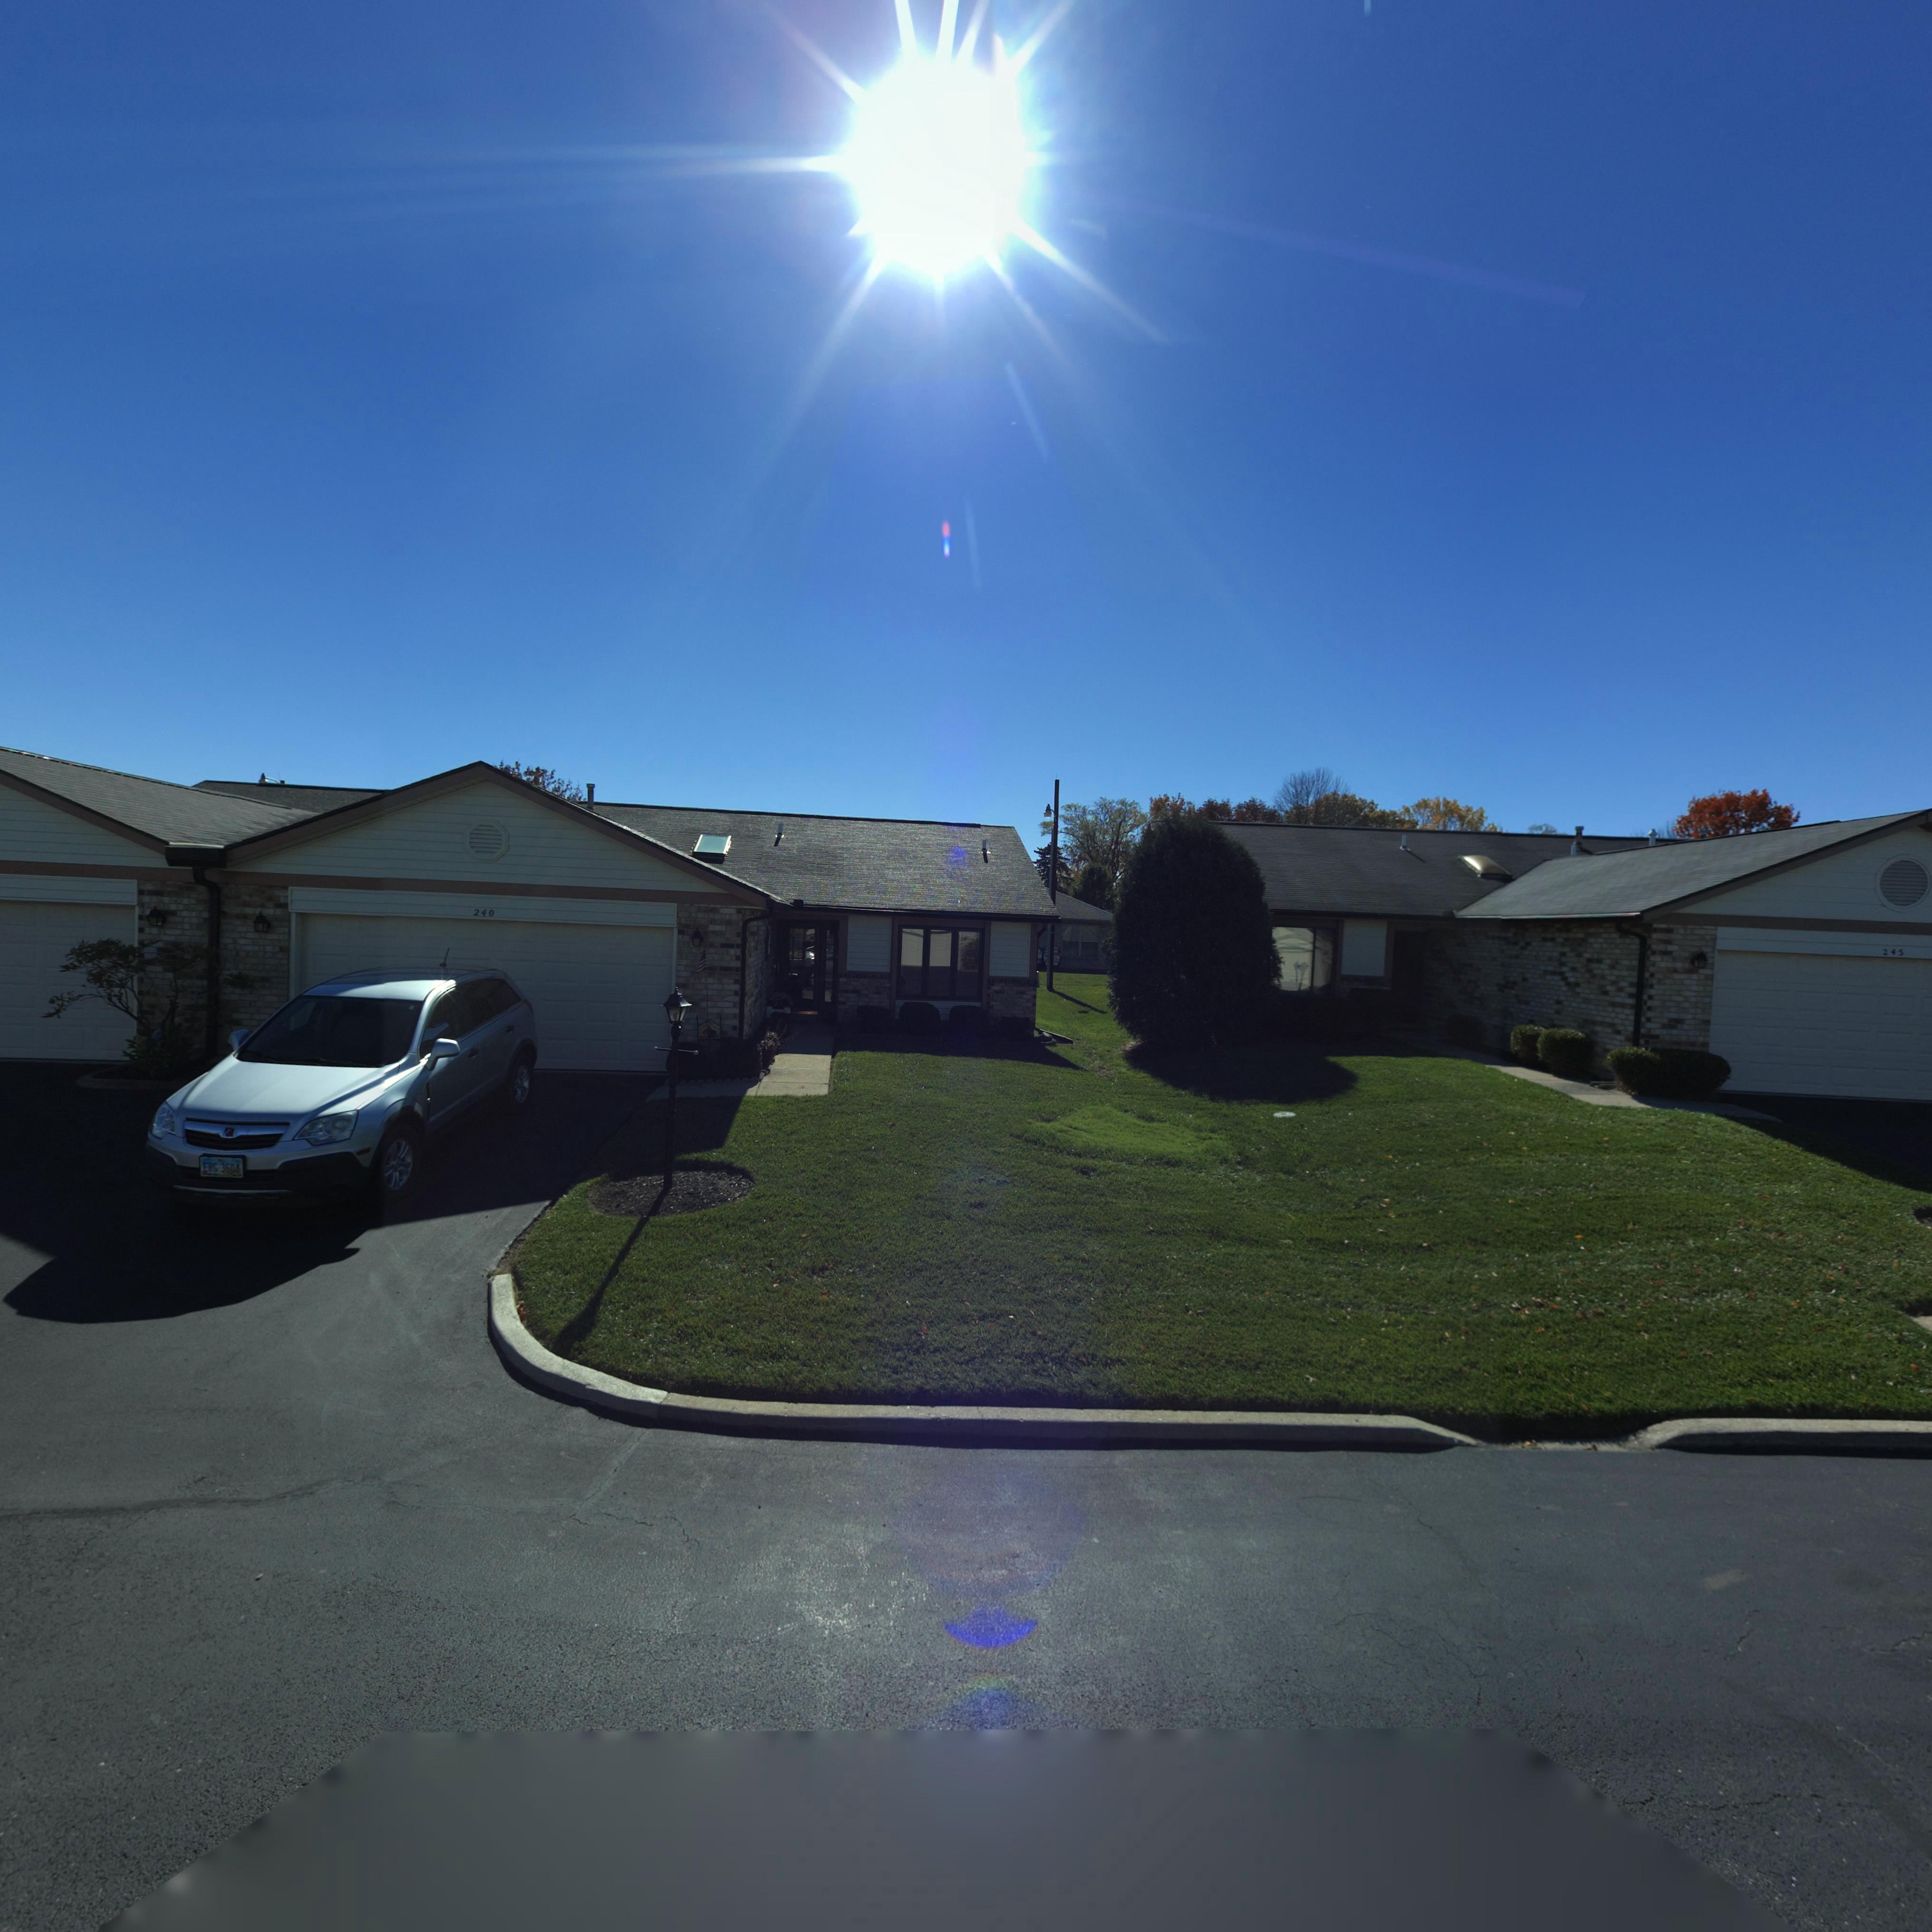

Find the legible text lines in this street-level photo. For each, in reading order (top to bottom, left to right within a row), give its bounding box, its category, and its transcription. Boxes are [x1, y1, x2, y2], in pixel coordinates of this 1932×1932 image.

[472, 908, 495, 918] StreetNumber: 240